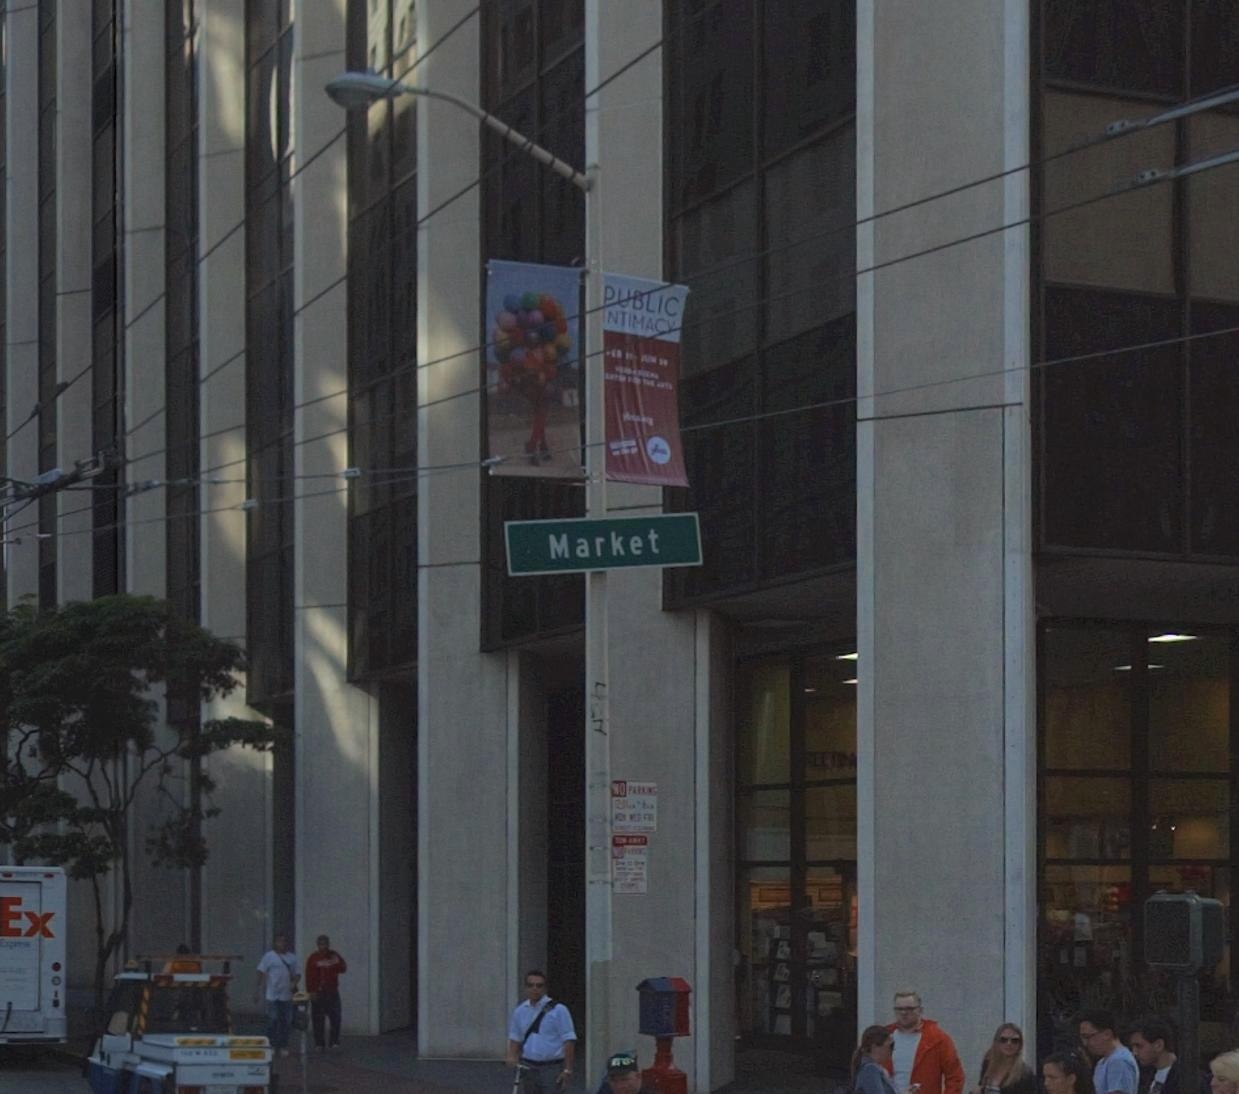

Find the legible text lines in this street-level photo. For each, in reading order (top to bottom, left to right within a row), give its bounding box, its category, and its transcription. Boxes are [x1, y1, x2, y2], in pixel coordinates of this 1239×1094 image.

[602, 284, 683, 320] None: P**LIC
[603, 307, 680, 338] None: N**MA**
[546, 525, 662, 563] StreetName: Market
[618, 781, 627, 798] None: O
[0, 894, 59, 940] None: Ex